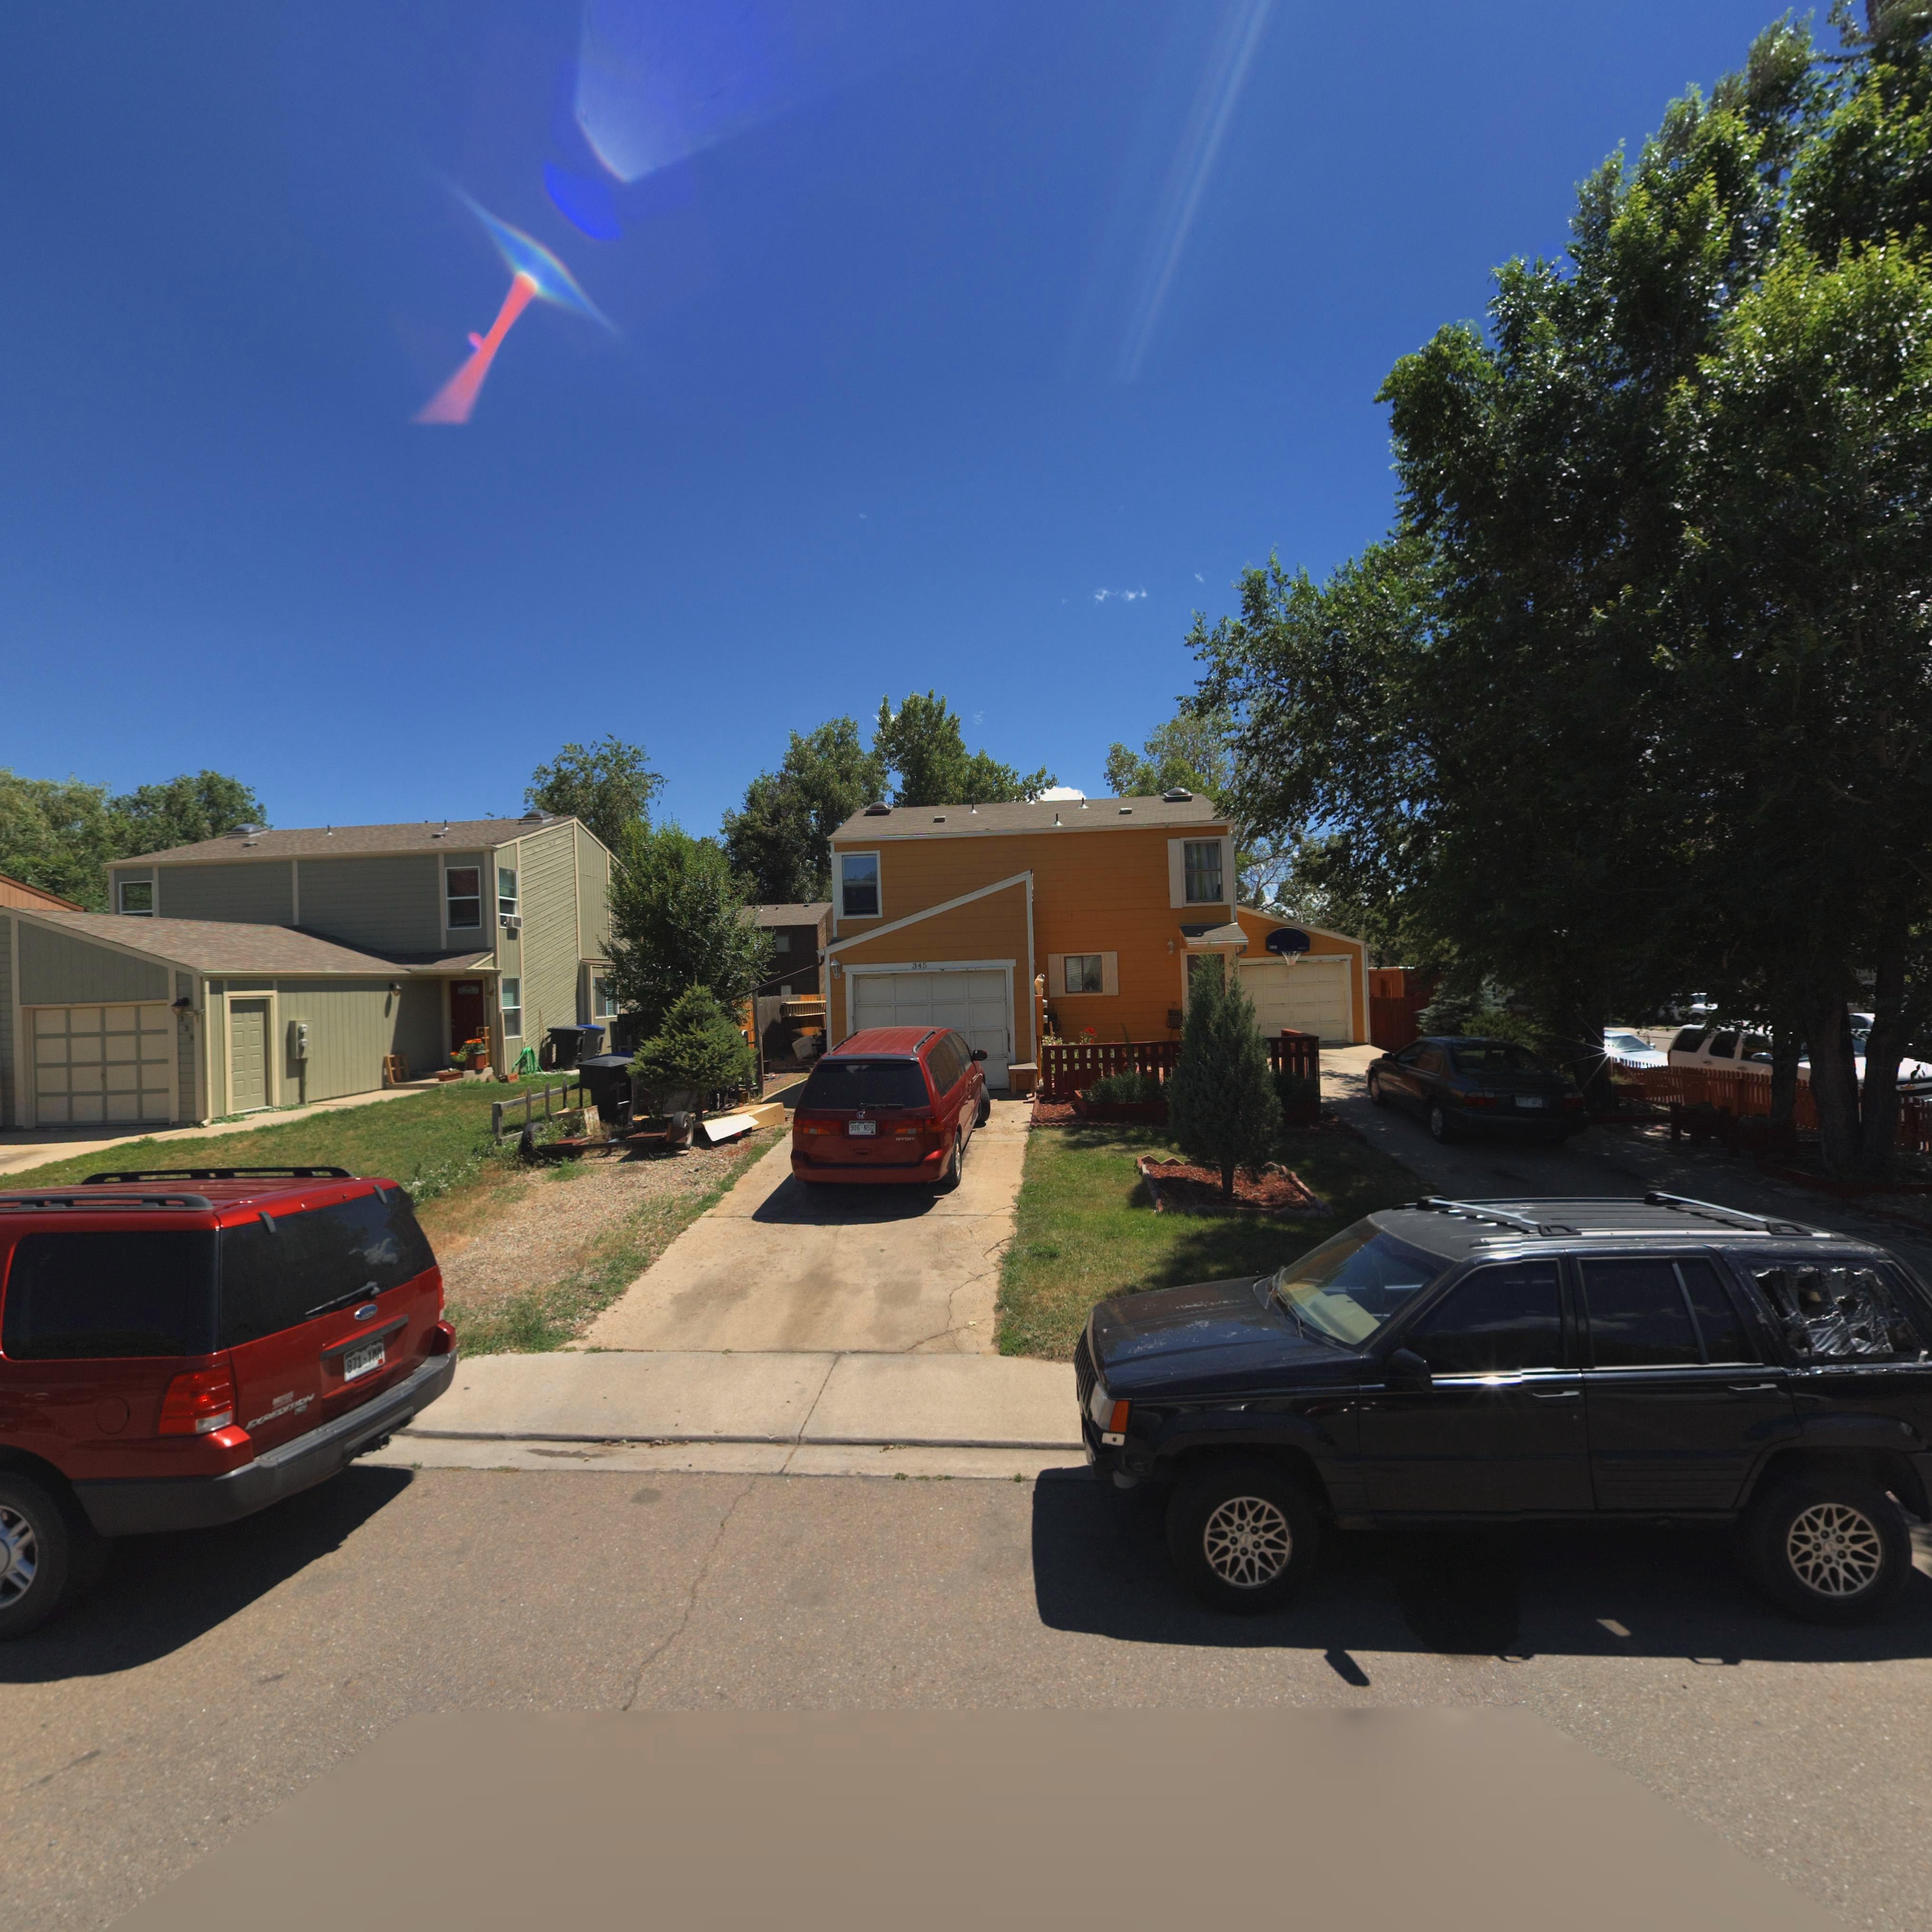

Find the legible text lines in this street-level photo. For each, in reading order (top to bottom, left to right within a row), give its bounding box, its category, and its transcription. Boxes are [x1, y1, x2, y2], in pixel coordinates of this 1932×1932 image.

[911, 962, 927, 969] StreetNumber: 345
[178, 1014, 194, 1042] StreetNumber: 339